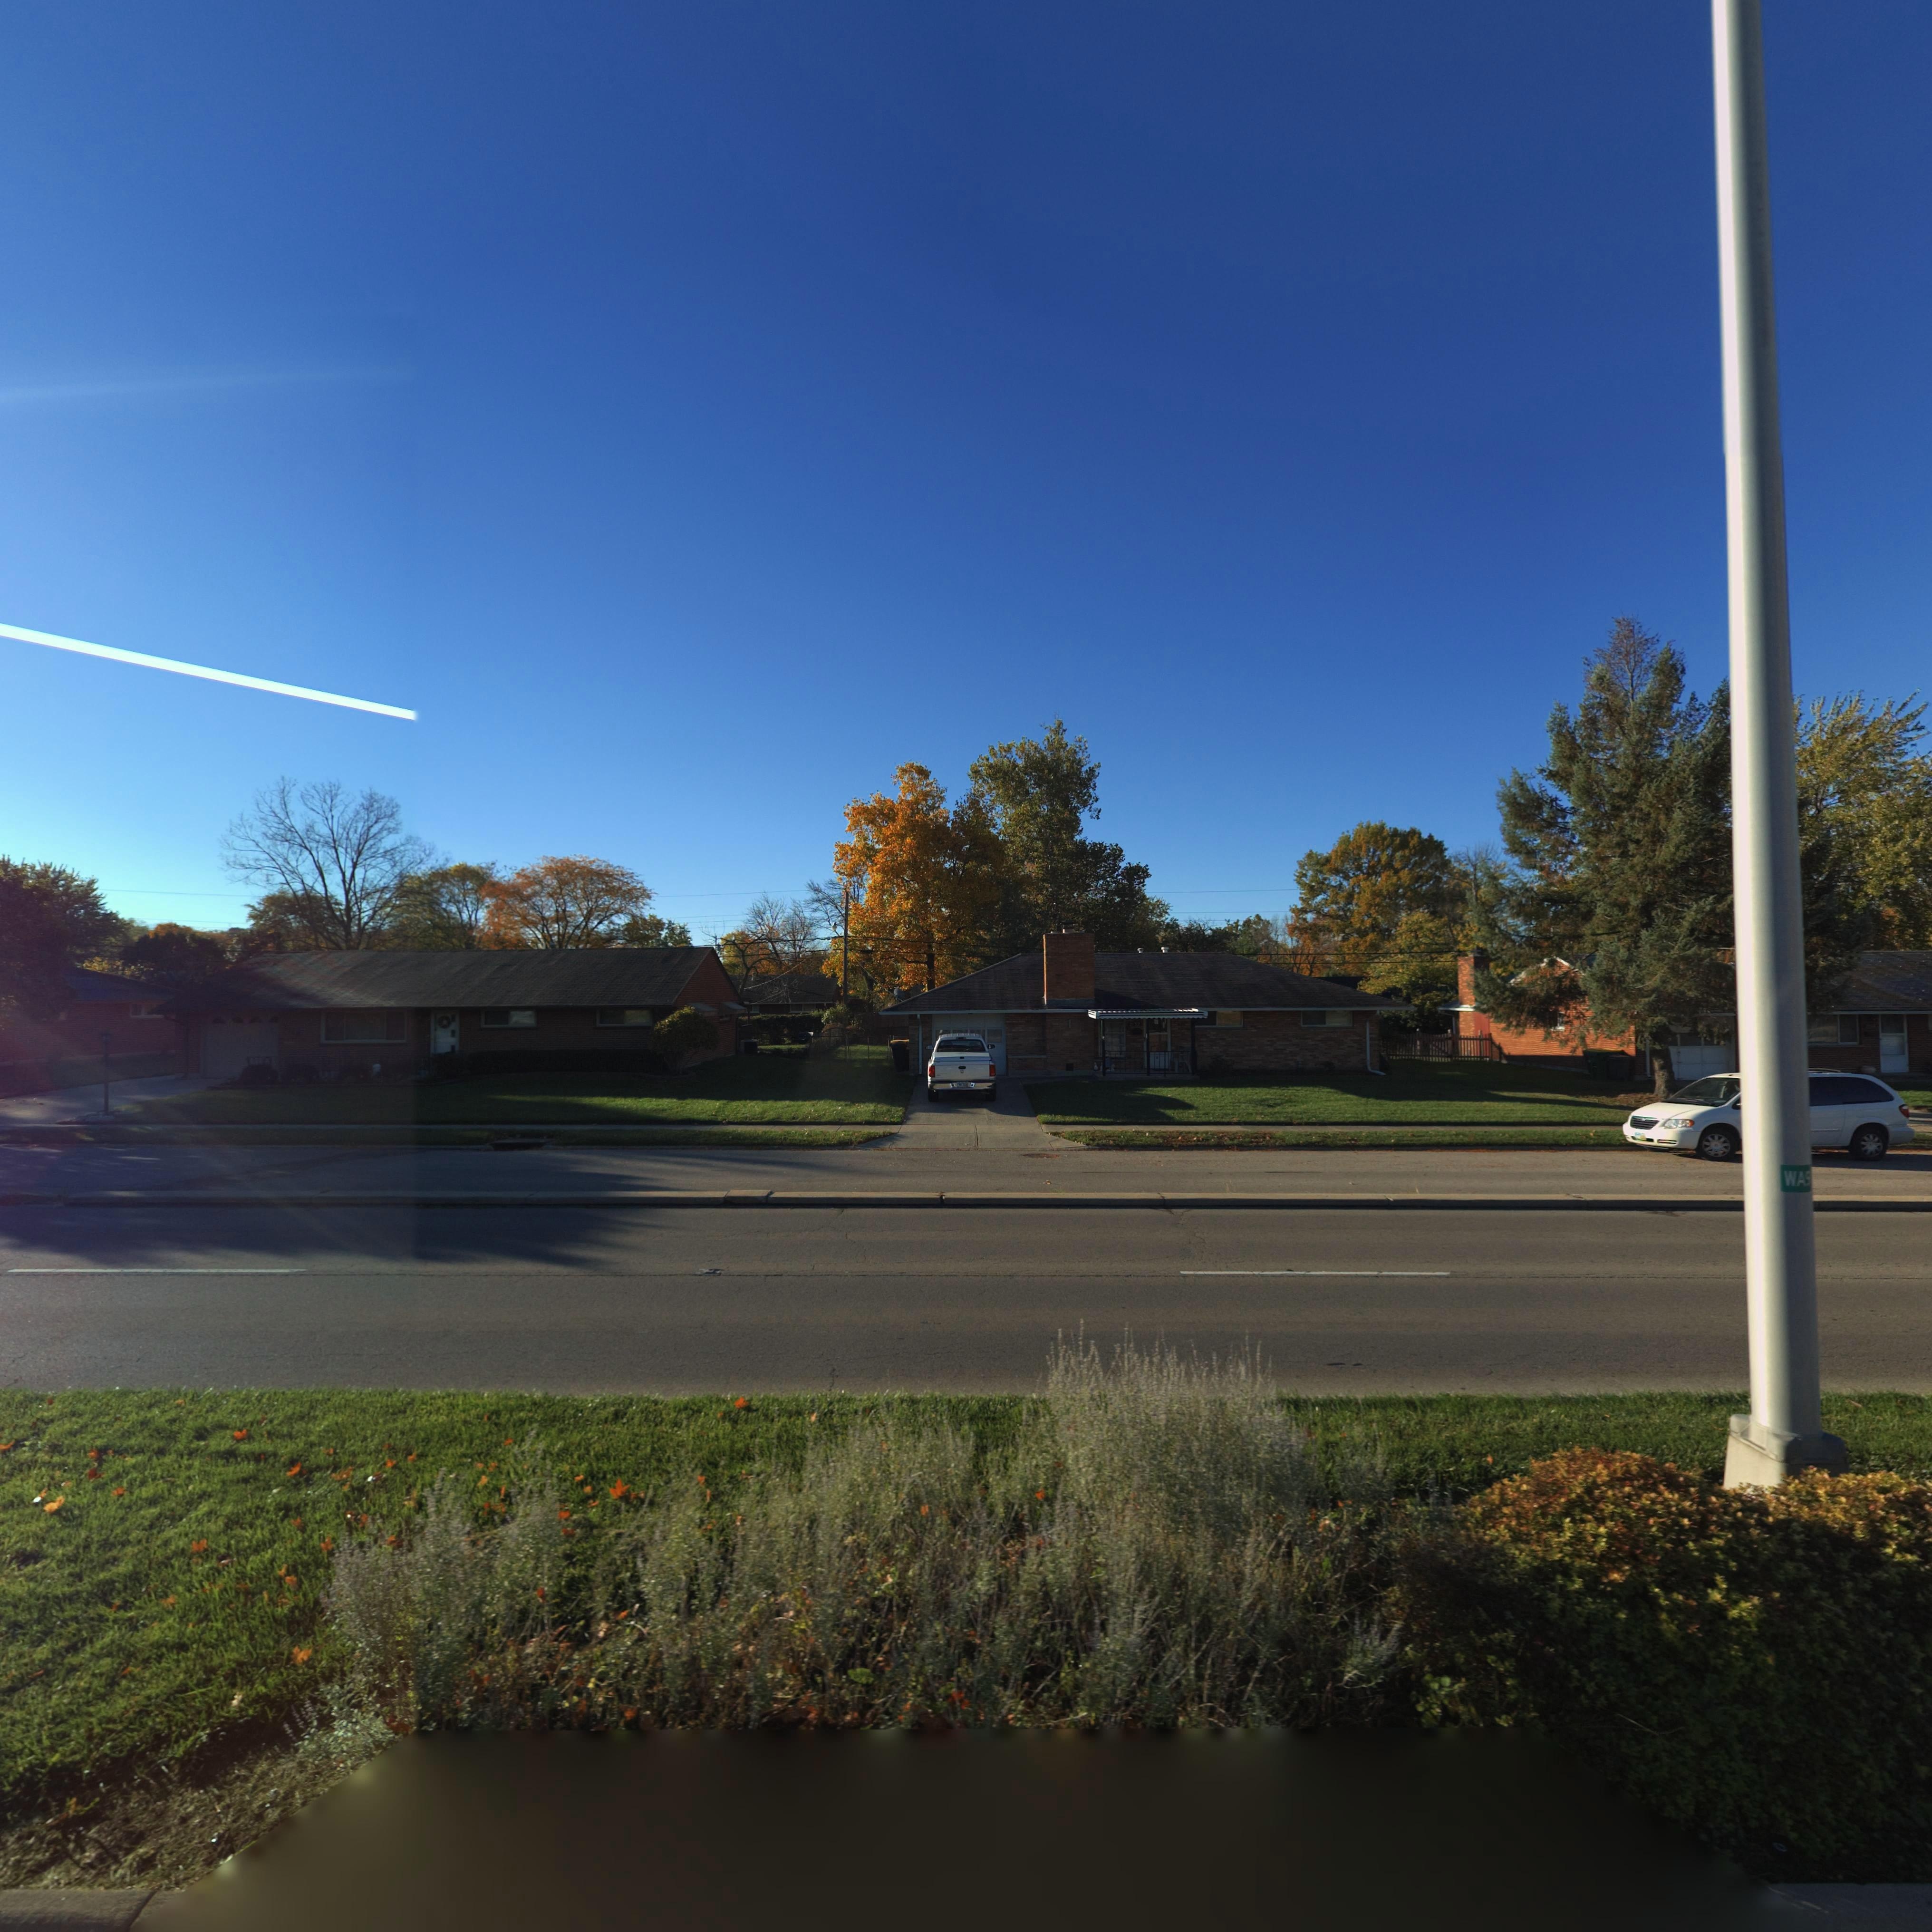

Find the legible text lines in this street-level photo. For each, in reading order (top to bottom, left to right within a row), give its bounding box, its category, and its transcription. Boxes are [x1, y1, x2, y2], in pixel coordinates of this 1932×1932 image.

[1128, 1021, 1140, 1027] StreetNumber: 31*2